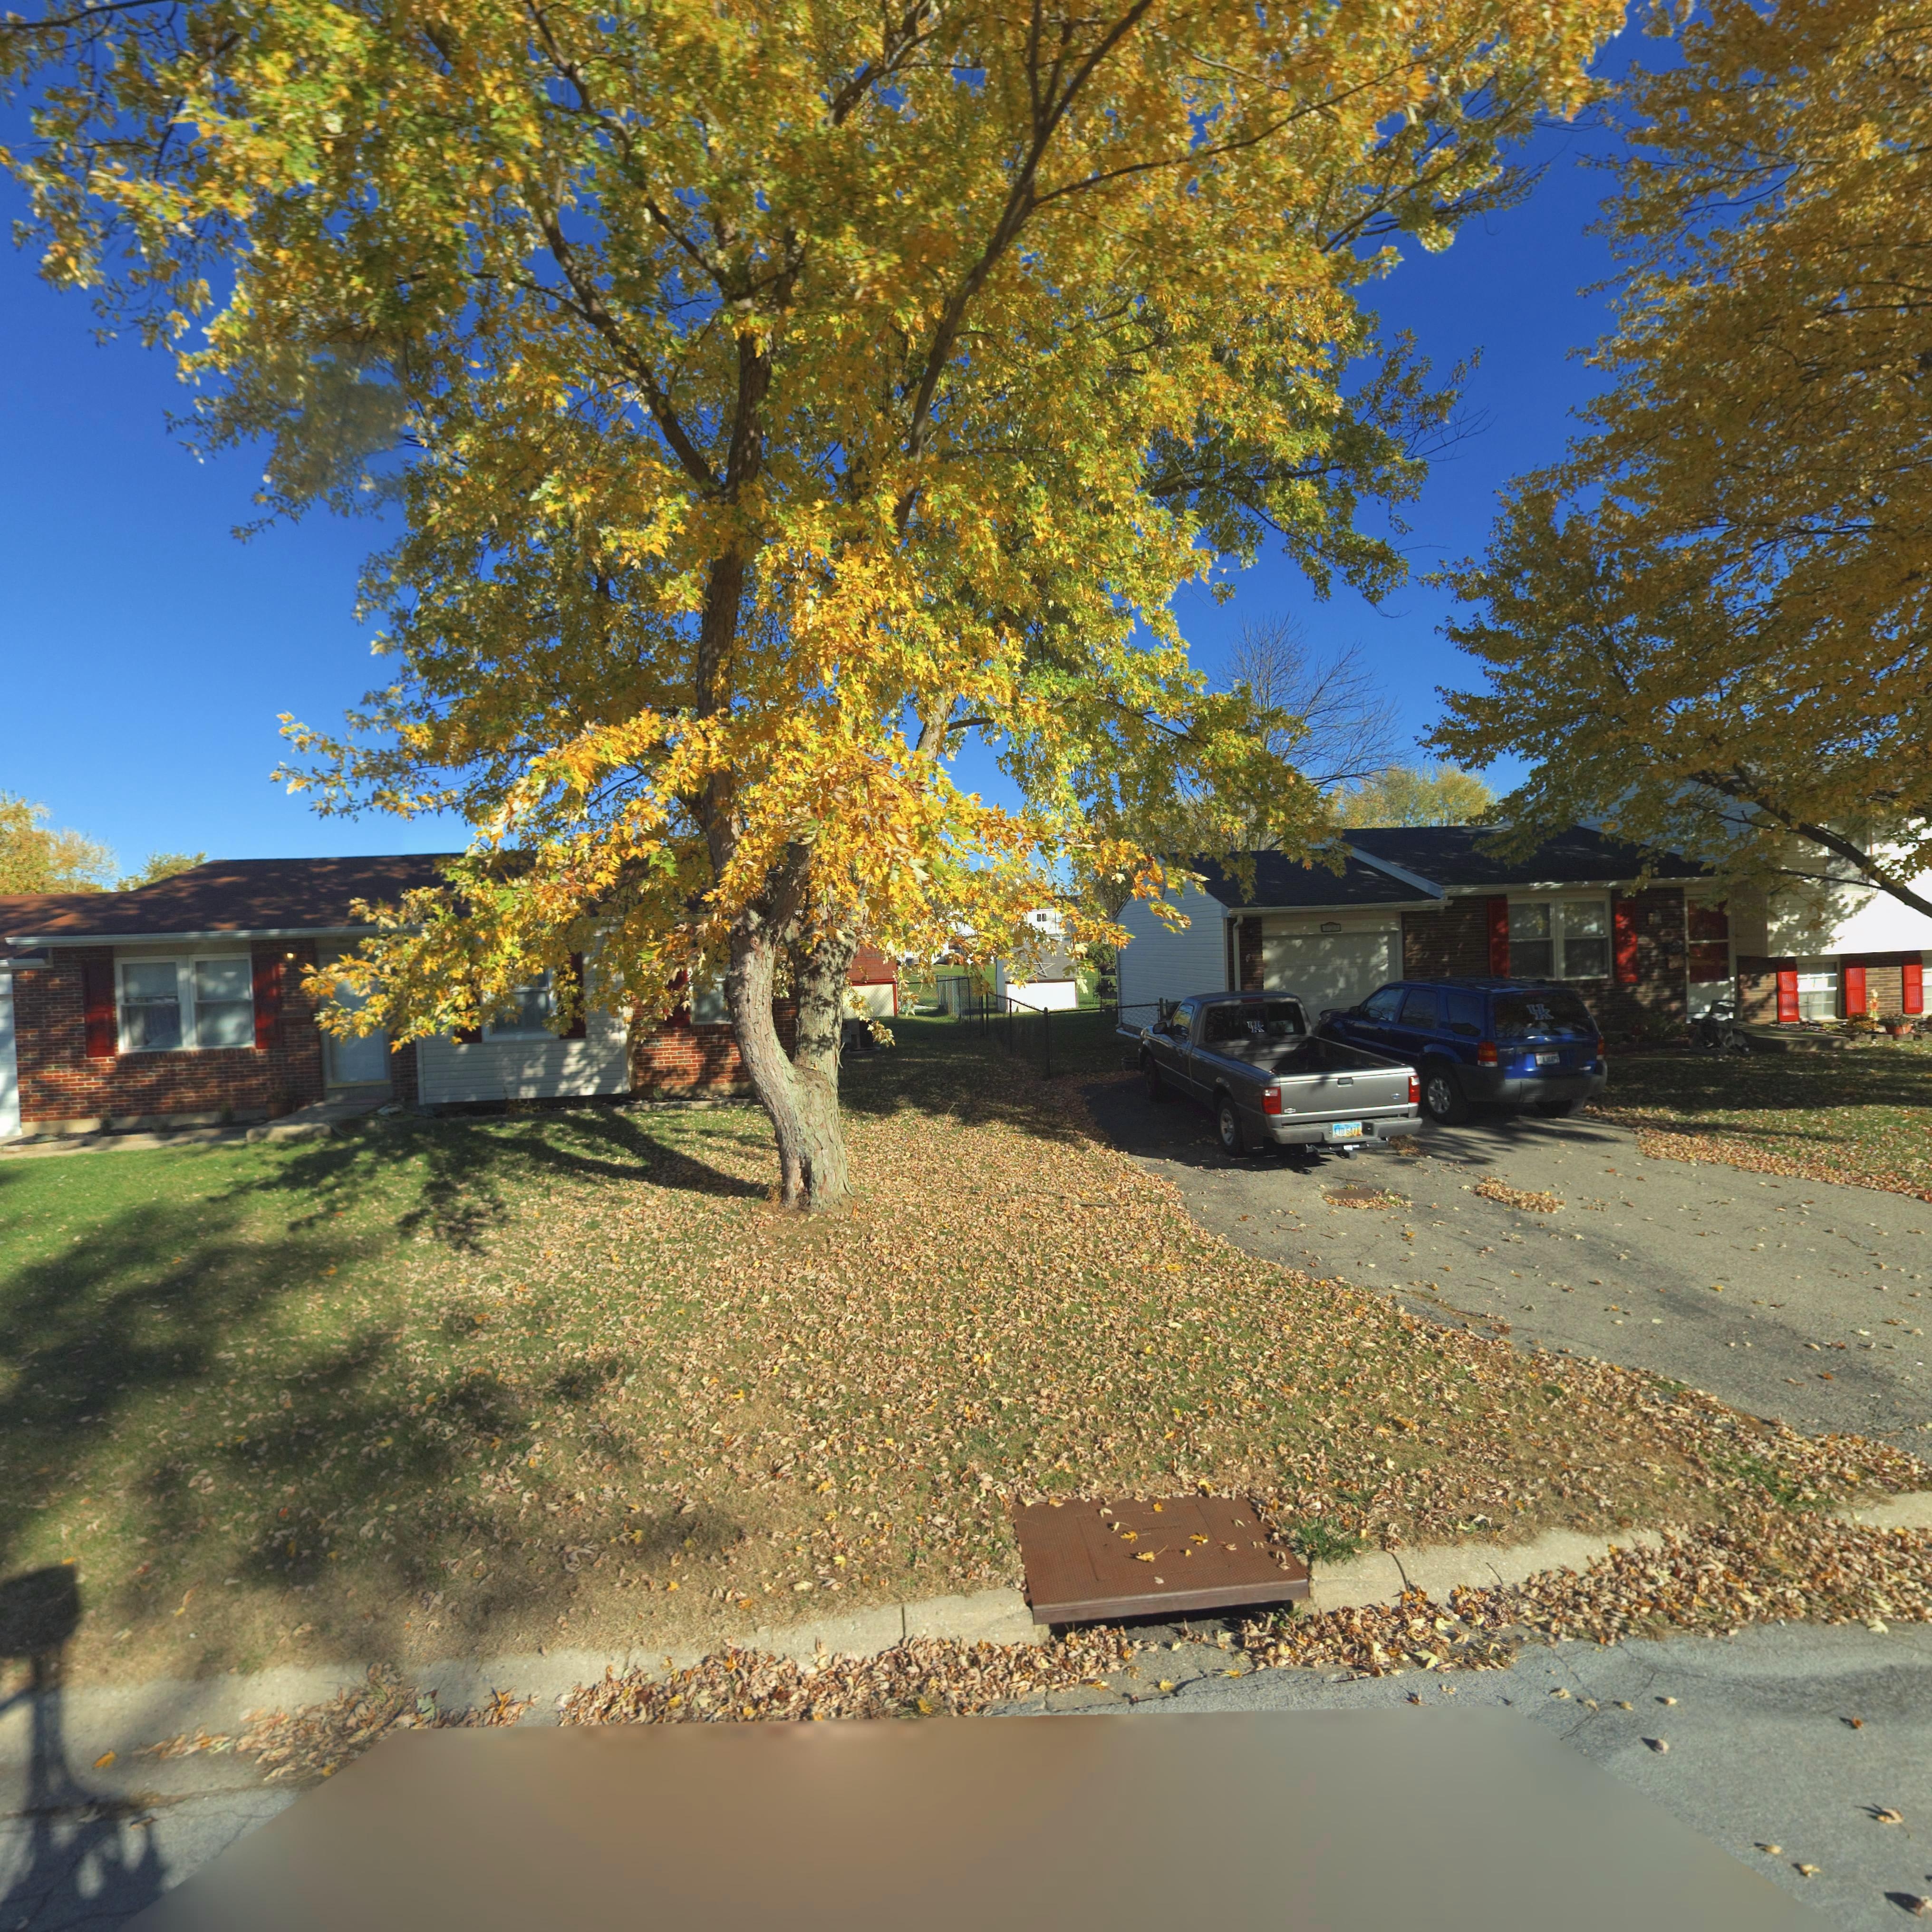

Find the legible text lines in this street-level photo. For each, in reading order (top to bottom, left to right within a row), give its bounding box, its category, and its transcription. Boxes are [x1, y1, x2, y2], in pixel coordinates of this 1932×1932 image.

[1323, 924, 1340, 931] StreetNumber: 108